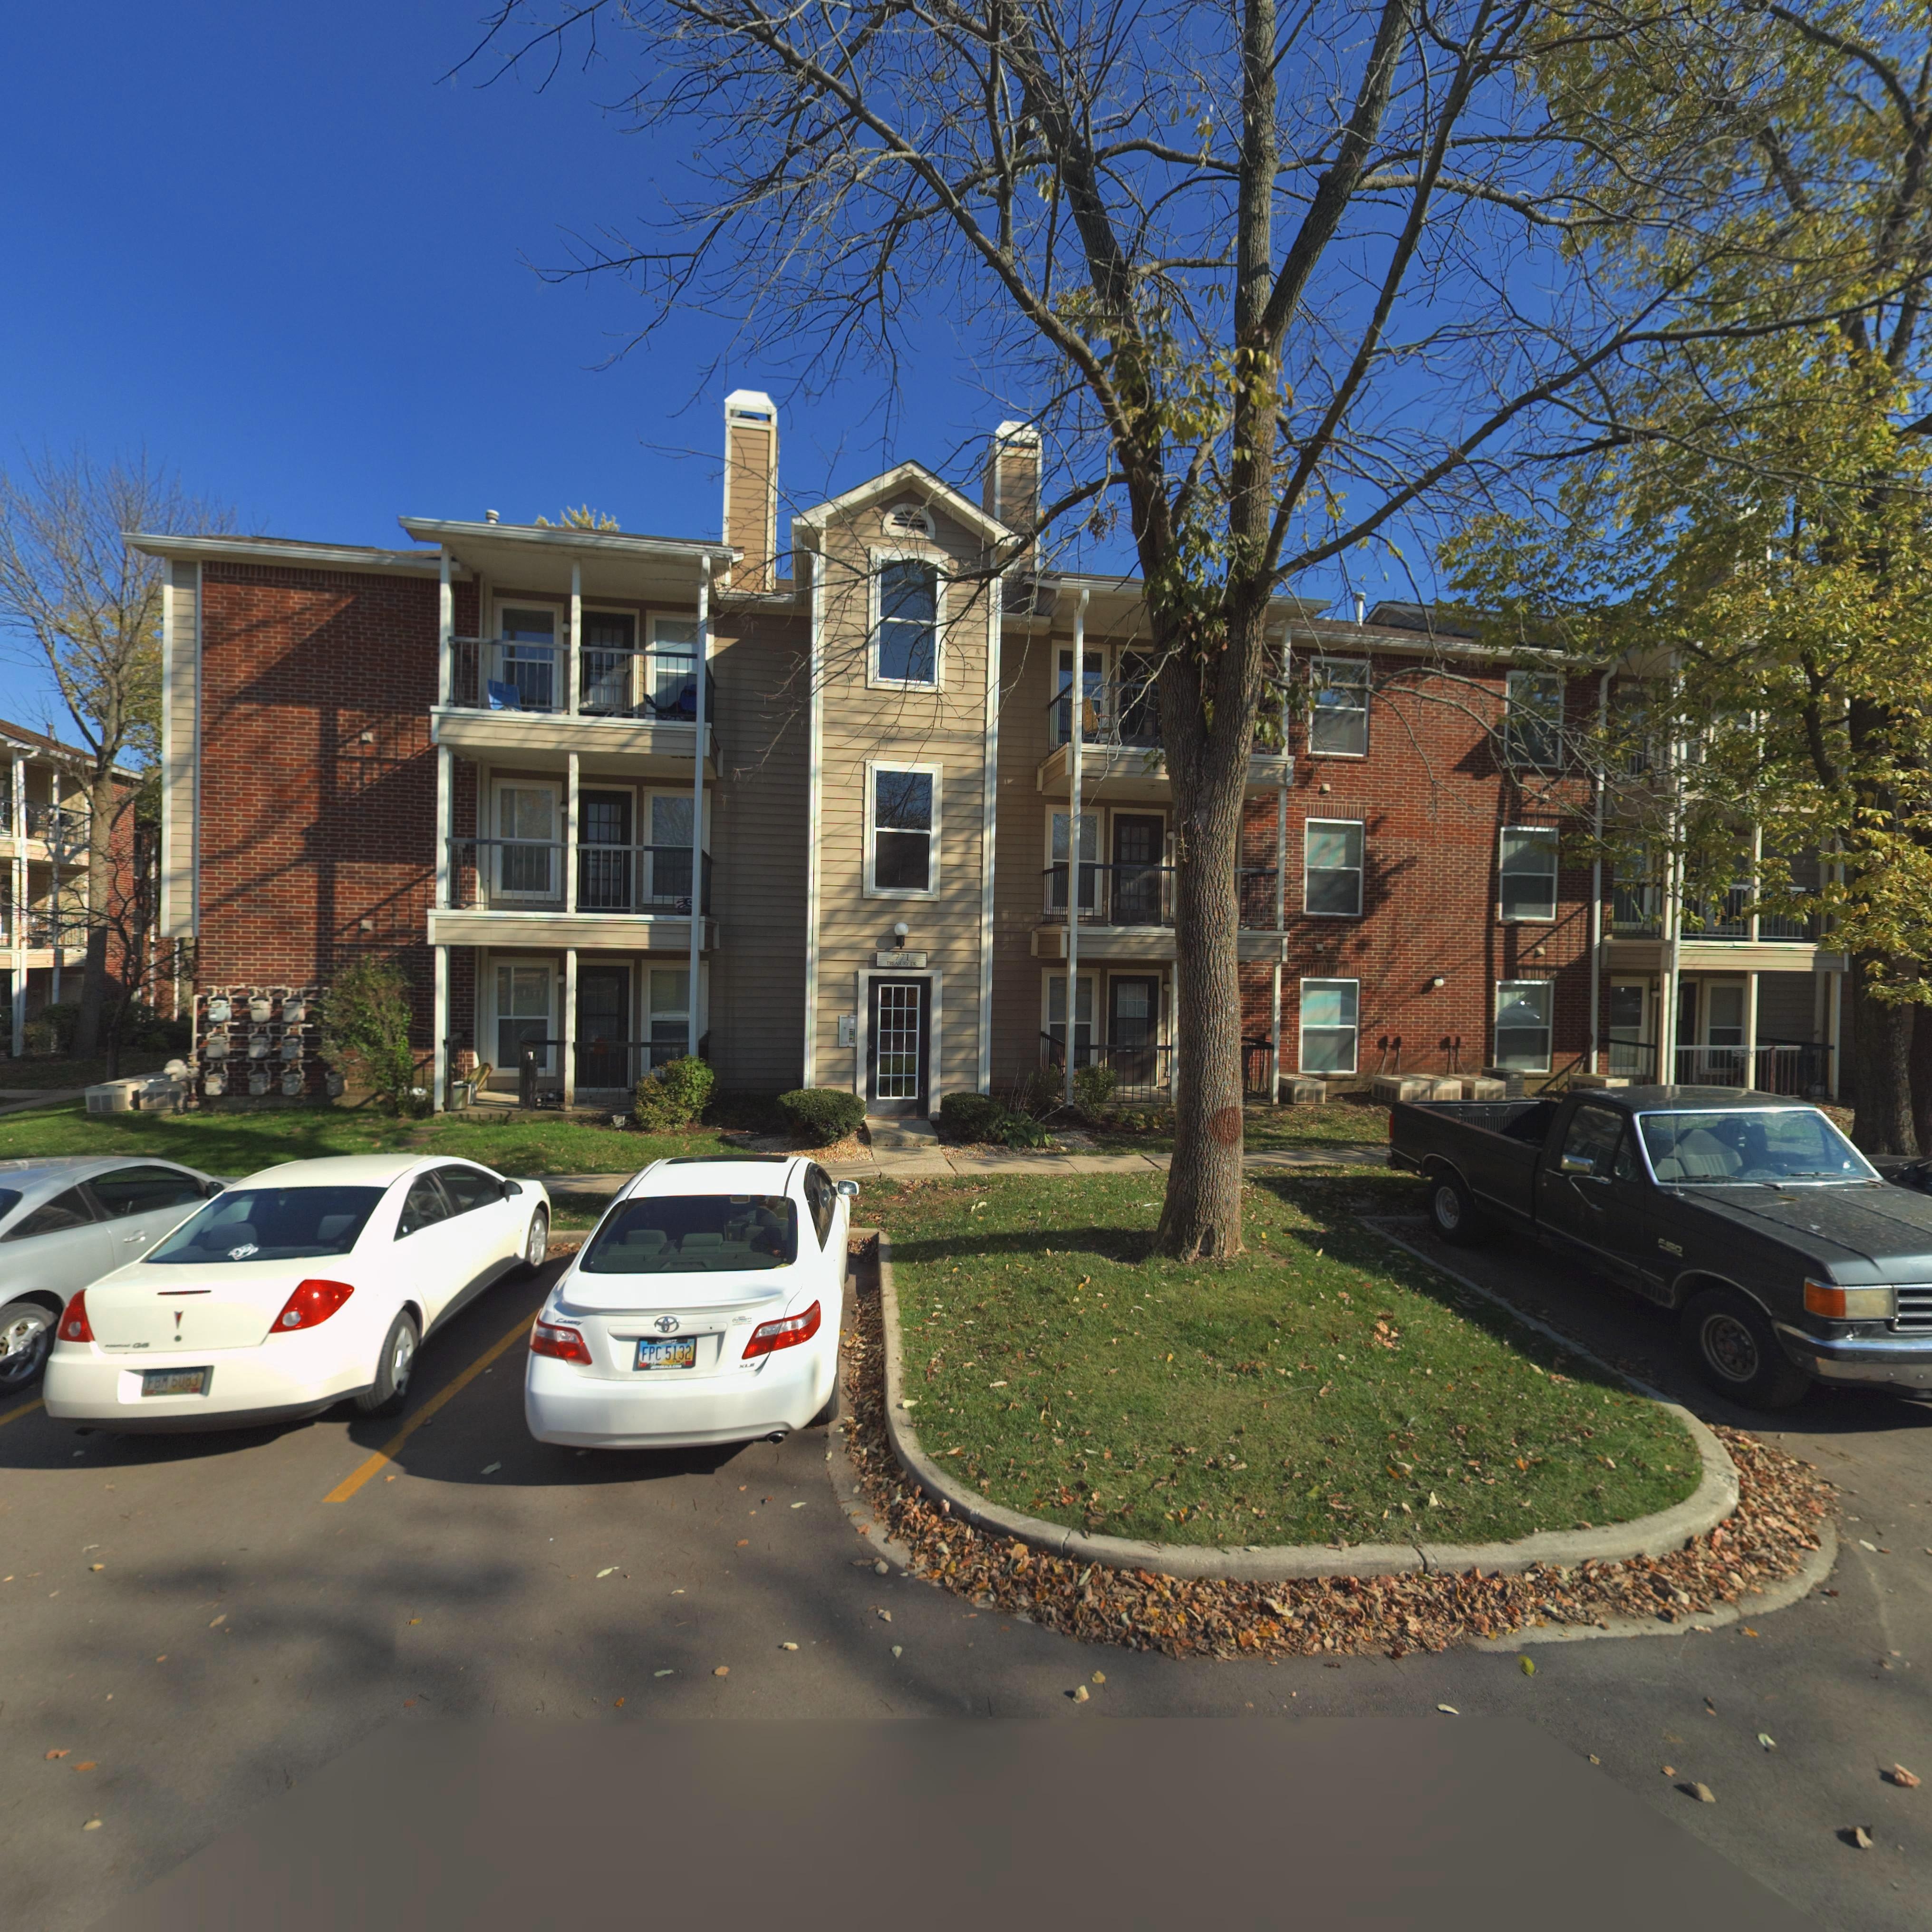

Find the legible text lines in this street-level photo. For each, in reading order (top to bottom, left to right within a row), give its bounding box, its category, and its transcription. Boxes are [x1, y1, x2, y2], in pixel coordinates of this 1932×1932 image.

[886, 960, 918, 967] StreetName: TREASURY **
[894, 953, 910, 962] StreetNumber: 771
[1657, 1236, 1683, 1255] None: F-1*0
[640, 1343, 693, 1362] None: FPC 5132
[738, 1362, 755, 1369] None: XL*
[146, 1371, 201, 1391] None: FB*6083